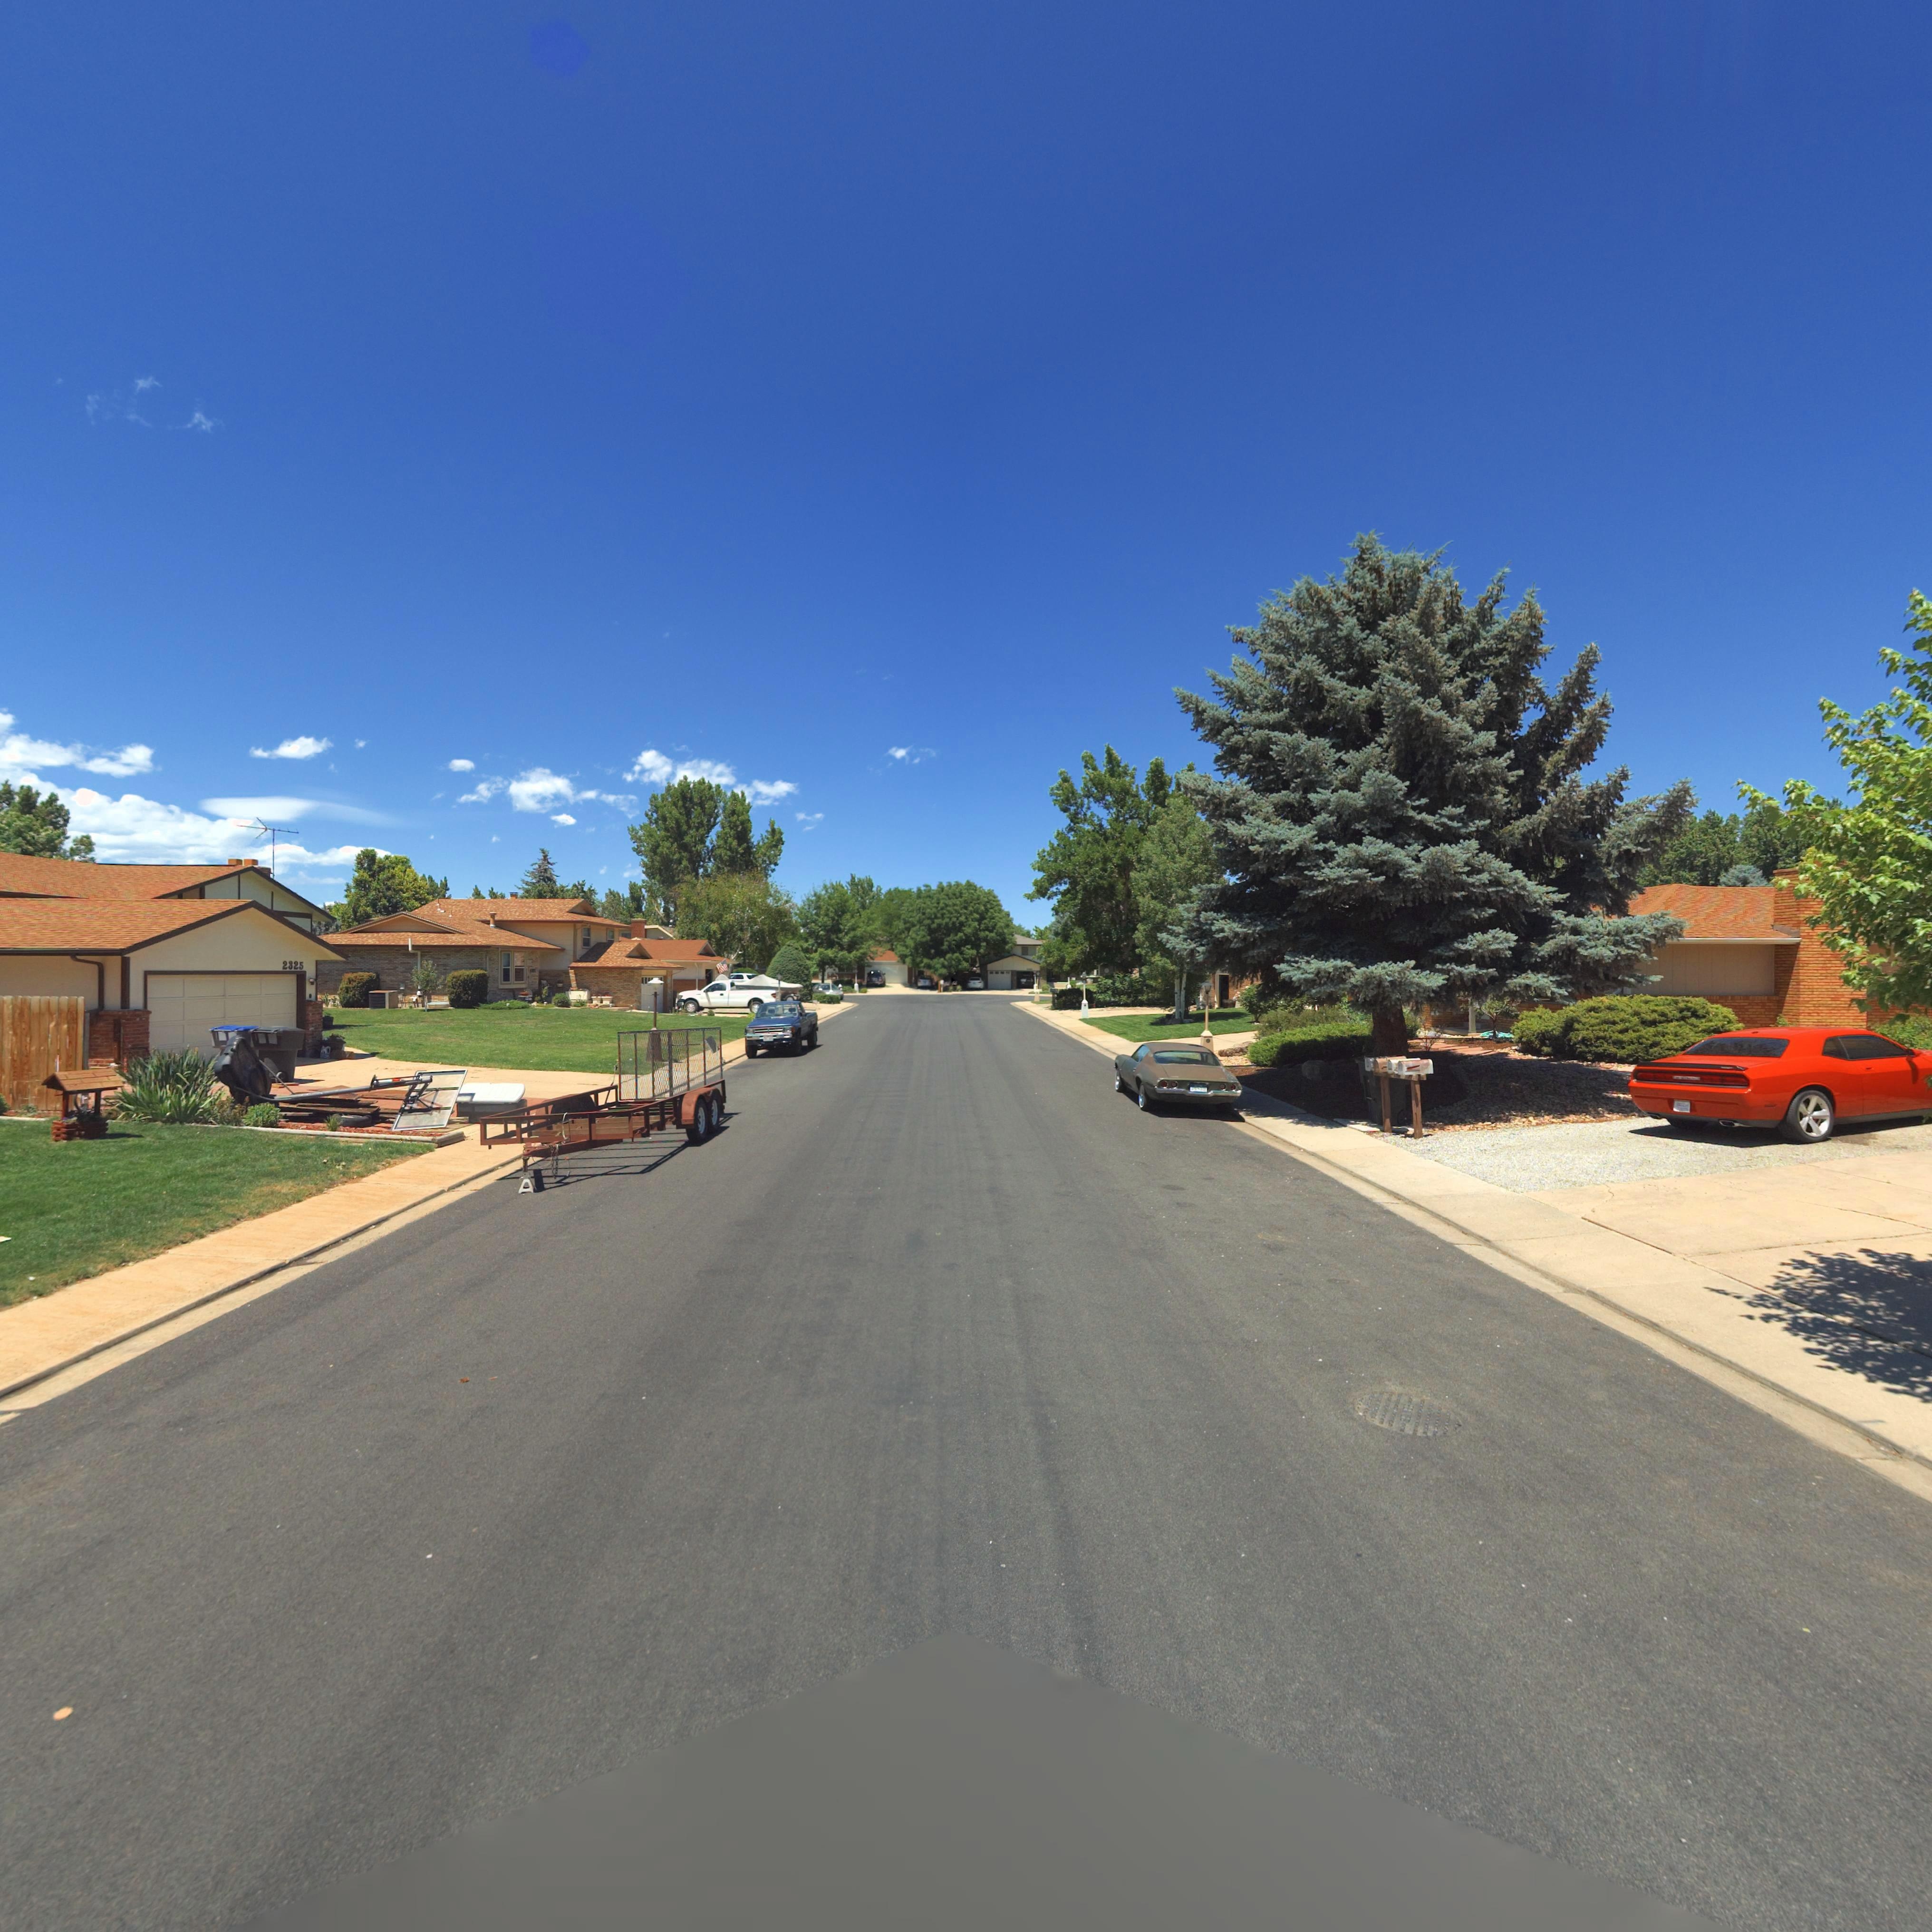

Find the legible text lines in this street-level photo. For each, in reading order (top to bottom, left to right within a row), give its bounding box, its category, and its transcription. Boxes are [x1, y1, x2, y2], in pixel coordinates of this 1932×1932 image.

[281, 960, 303, 970] StreetNumber: 2325